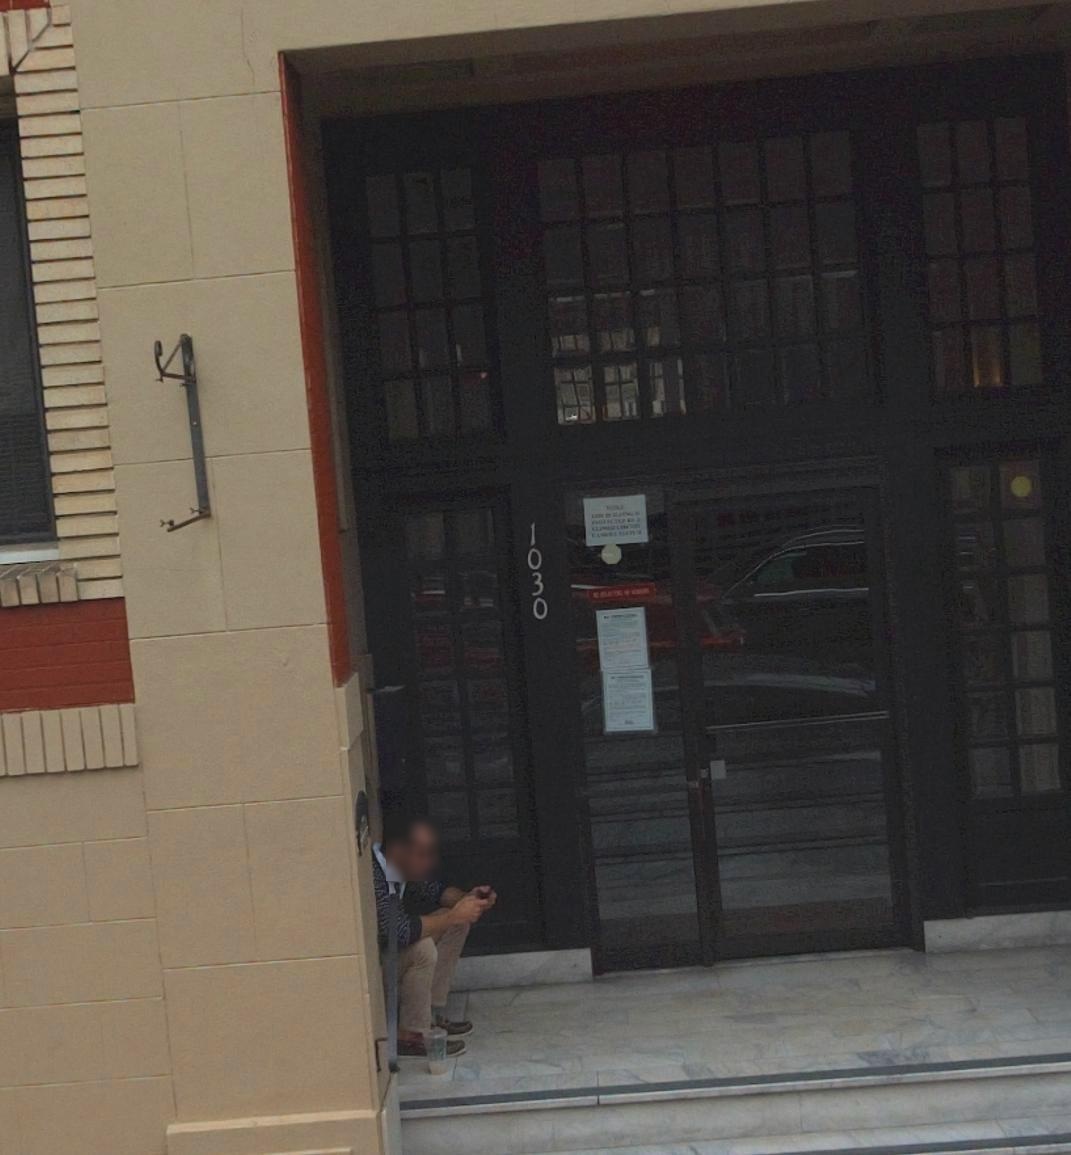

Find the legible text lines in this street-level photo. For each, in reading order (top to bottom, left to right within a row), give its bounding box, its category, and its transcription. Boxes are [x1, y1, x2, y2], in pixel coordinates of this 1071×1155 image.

[526, 520, 551, 624] StreetNumber: 1030